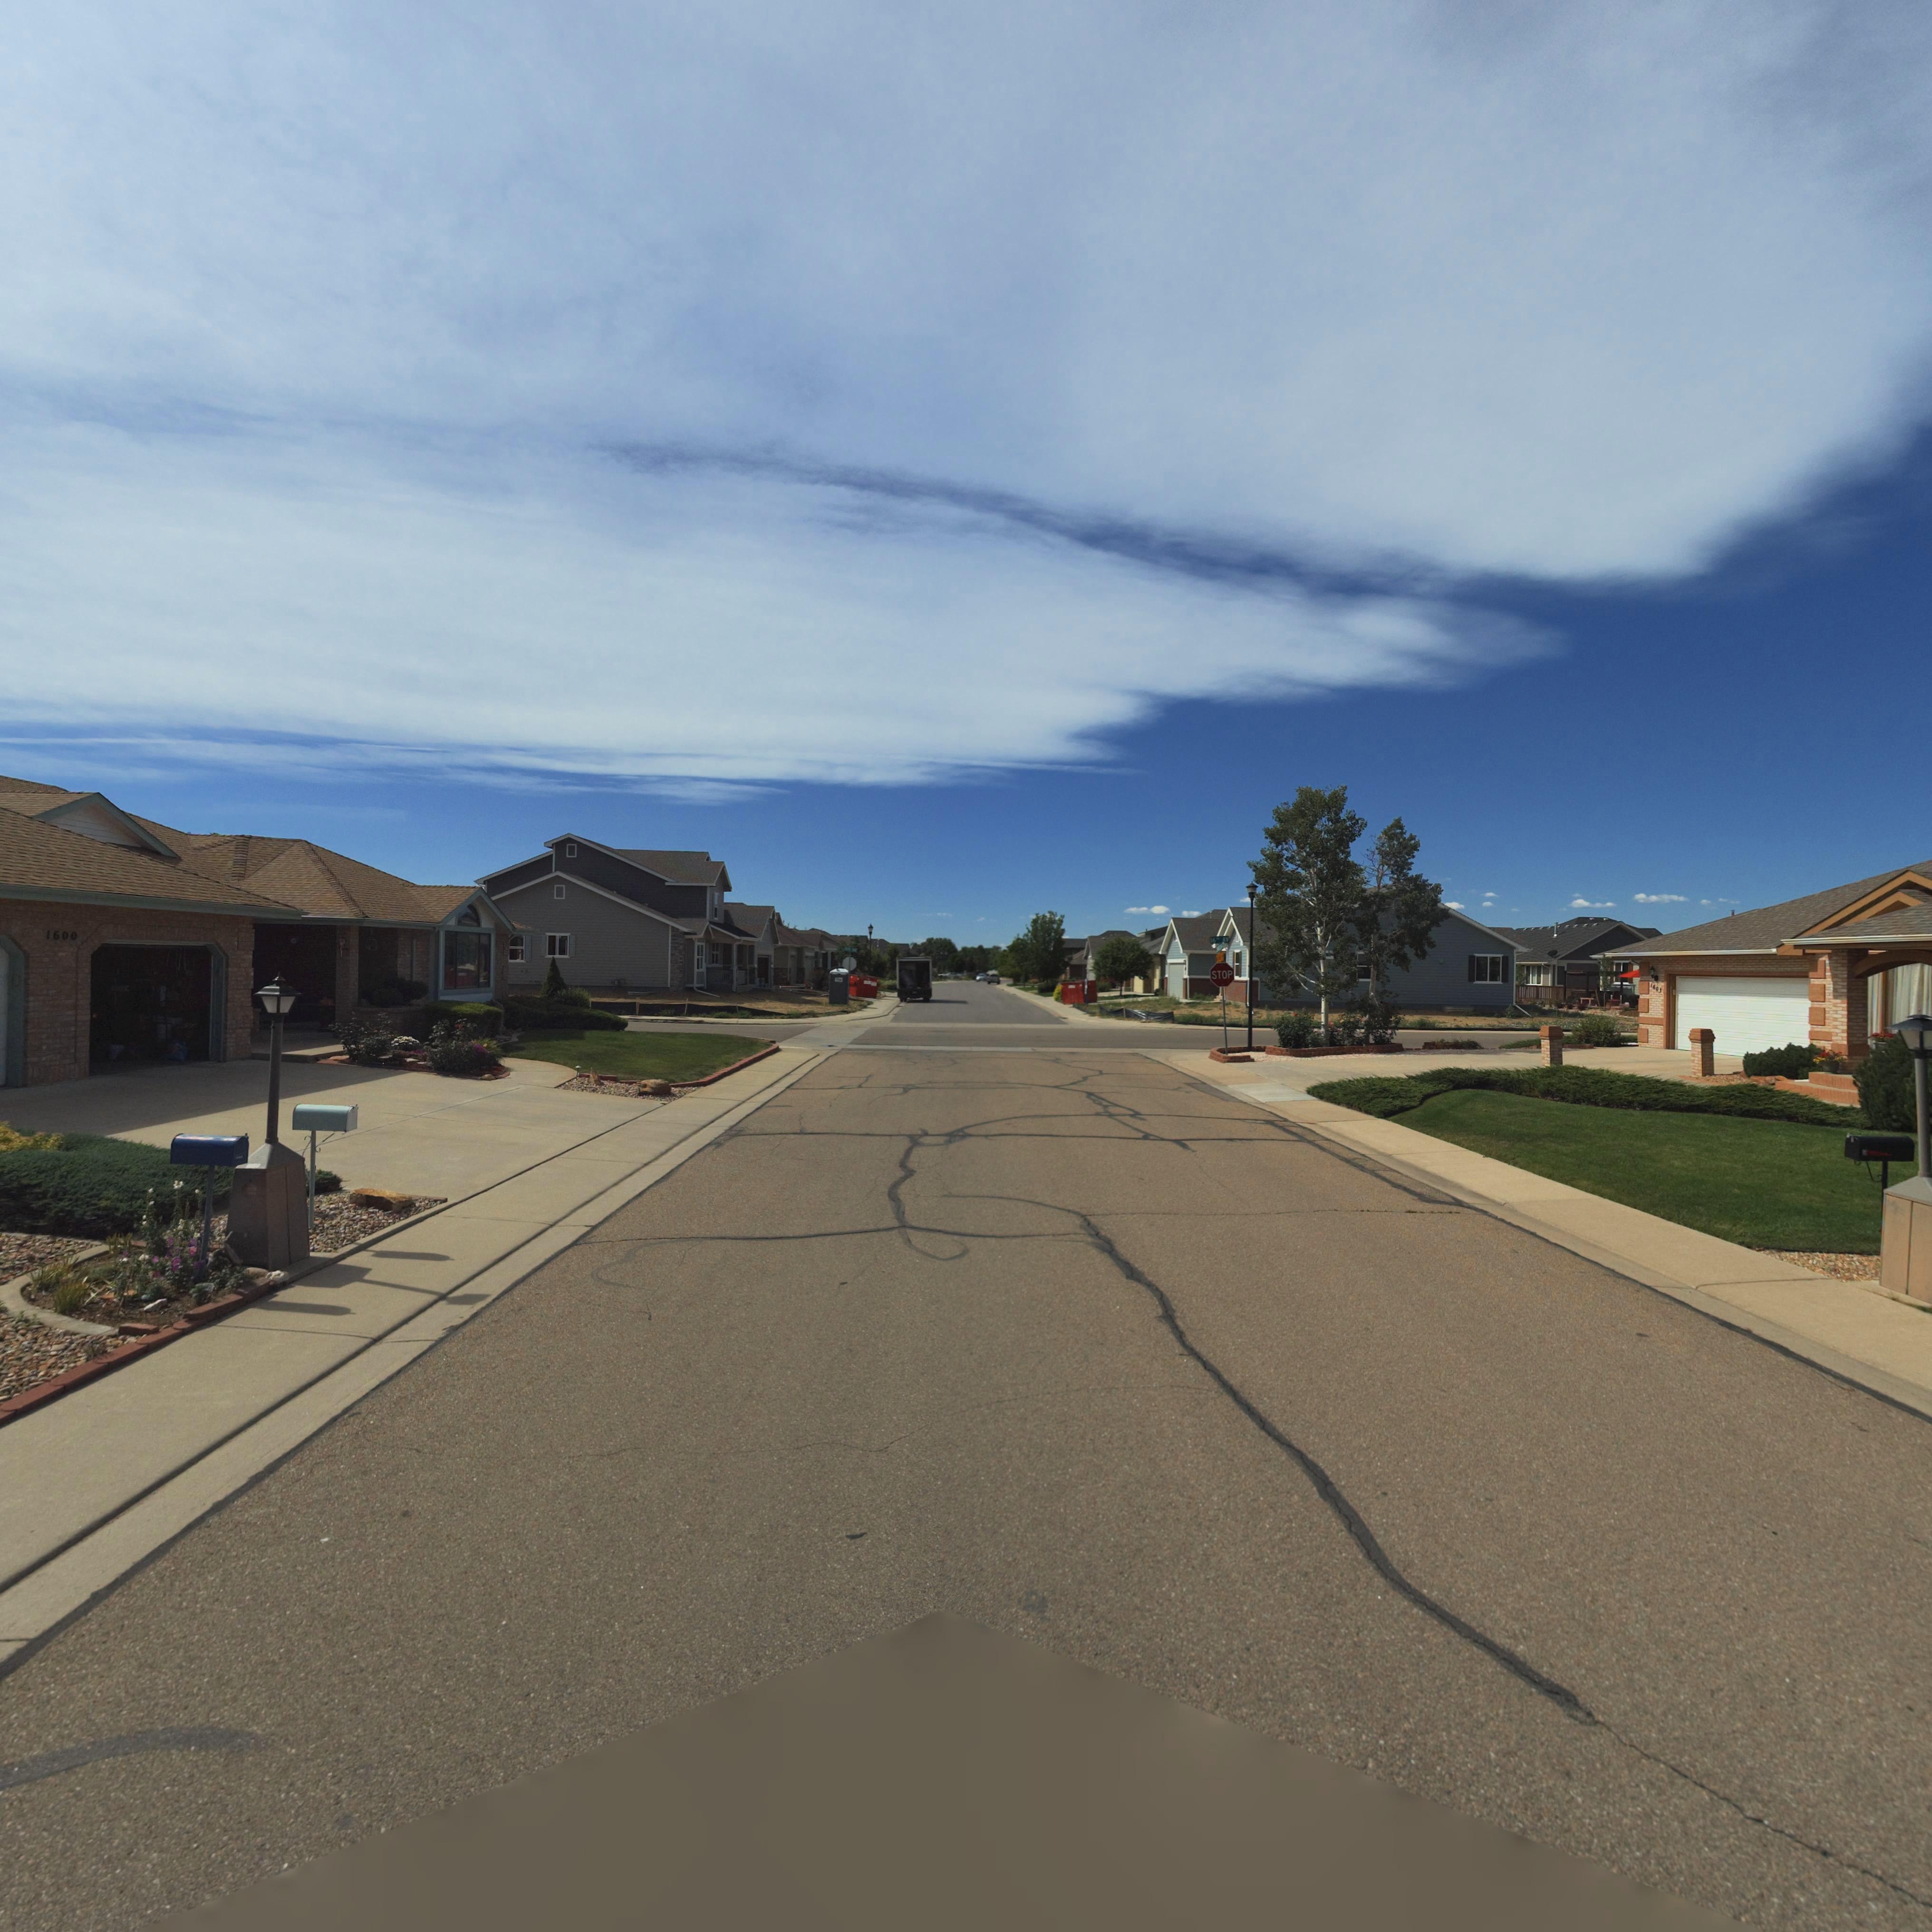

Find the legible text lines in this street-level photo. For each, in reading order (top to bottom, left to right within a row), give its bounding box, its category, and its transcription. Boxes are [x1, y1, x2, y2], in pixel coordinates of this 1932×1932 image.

[44, 928, 79, 941] StreetNumber: 1600
[1210, 937, 1229, 943] StreetName: 16TH AV
[1650, 982, 1662, 994] StreetName: 1603